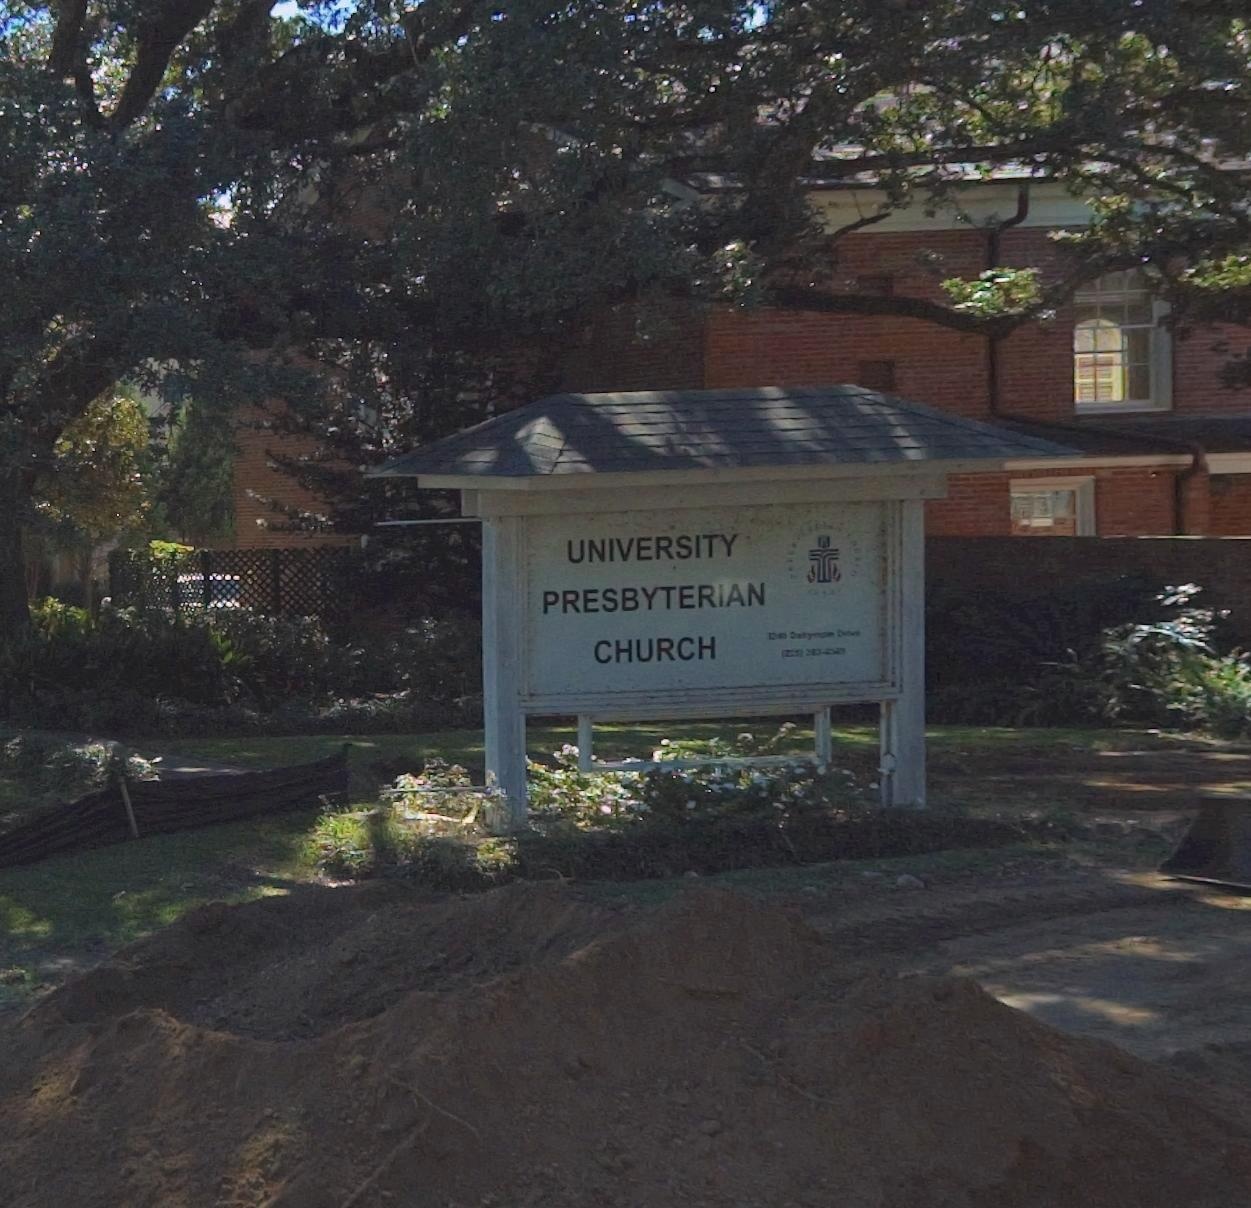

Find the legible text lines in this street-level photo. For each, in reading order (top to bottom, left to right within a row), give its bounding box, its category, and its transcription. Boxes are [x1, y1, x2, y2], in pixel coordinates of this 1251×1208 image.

[566, 531, 741, 565] BusinessName: UNIVERSITY
[542, 580, 766, 615] BusinessName: PRESBYTERIAN
[593, 634, 718, 665] BusinessName: CHURCH